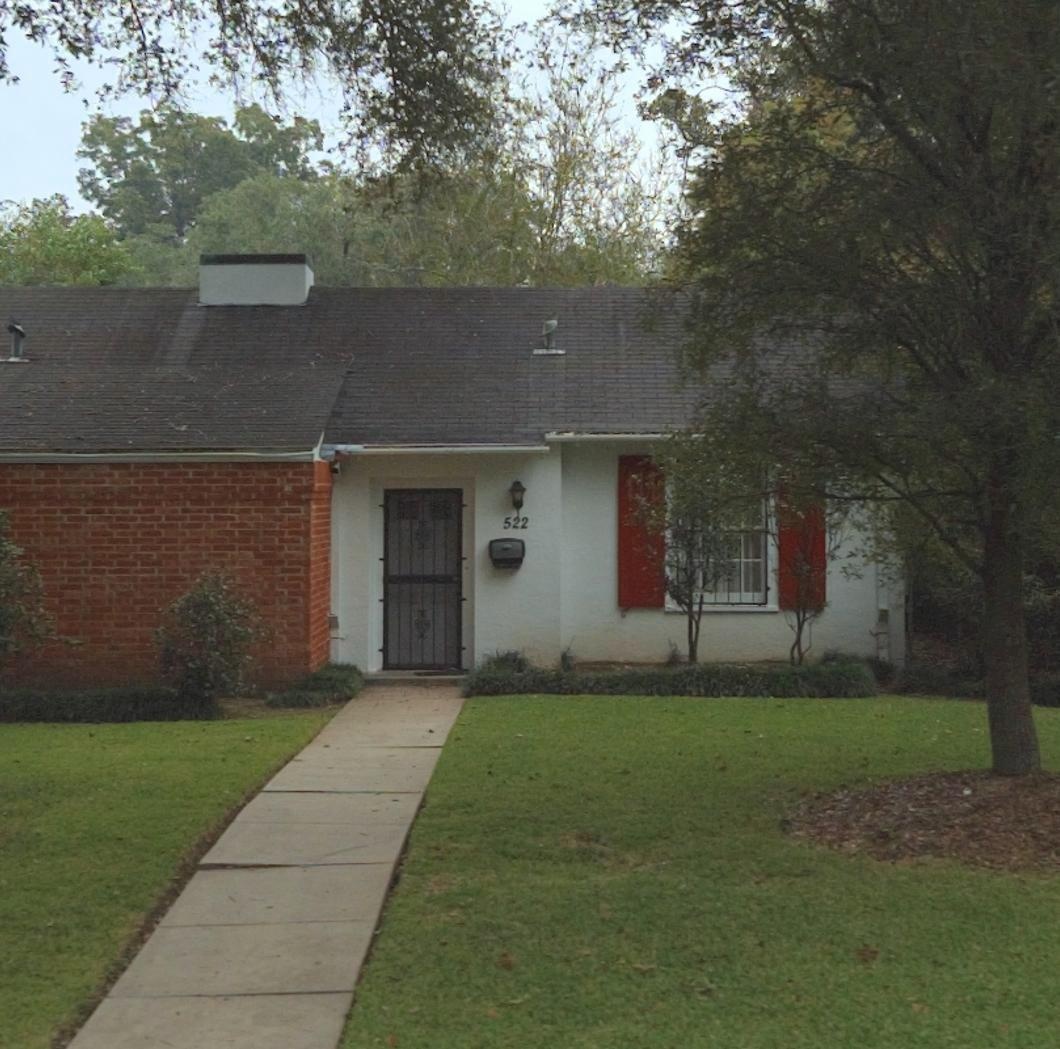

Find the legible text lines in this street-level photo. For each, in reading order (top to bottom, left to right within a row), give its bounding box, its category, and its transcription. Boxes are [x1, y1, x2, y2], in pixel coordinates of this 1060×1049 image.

[503, 516, 528, 530] StreetNumber: 522